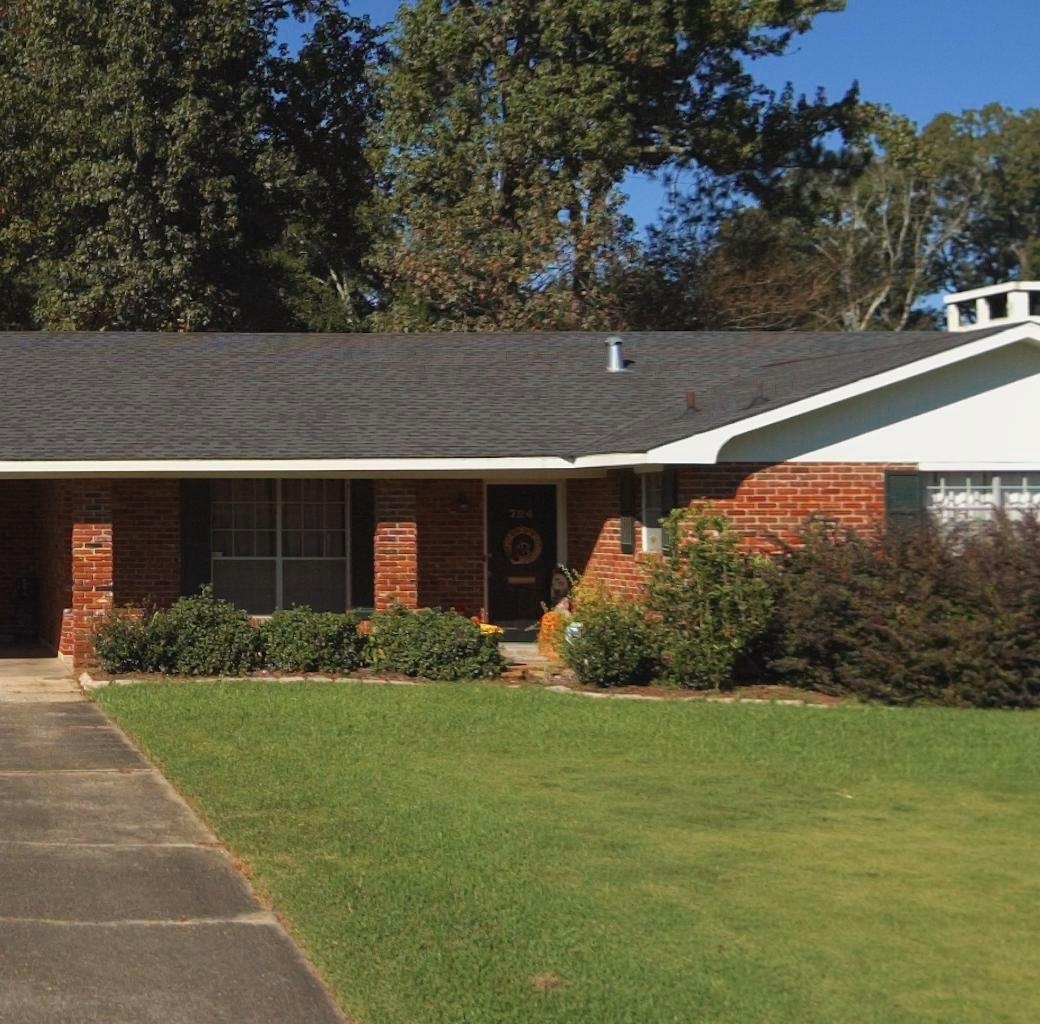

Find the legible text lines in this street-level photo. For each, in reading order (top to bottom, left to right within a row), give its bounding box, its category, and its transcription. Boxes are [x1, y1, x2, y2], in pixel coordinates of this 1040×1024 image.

[506, 507, 535, 520] StreetNumber: 724